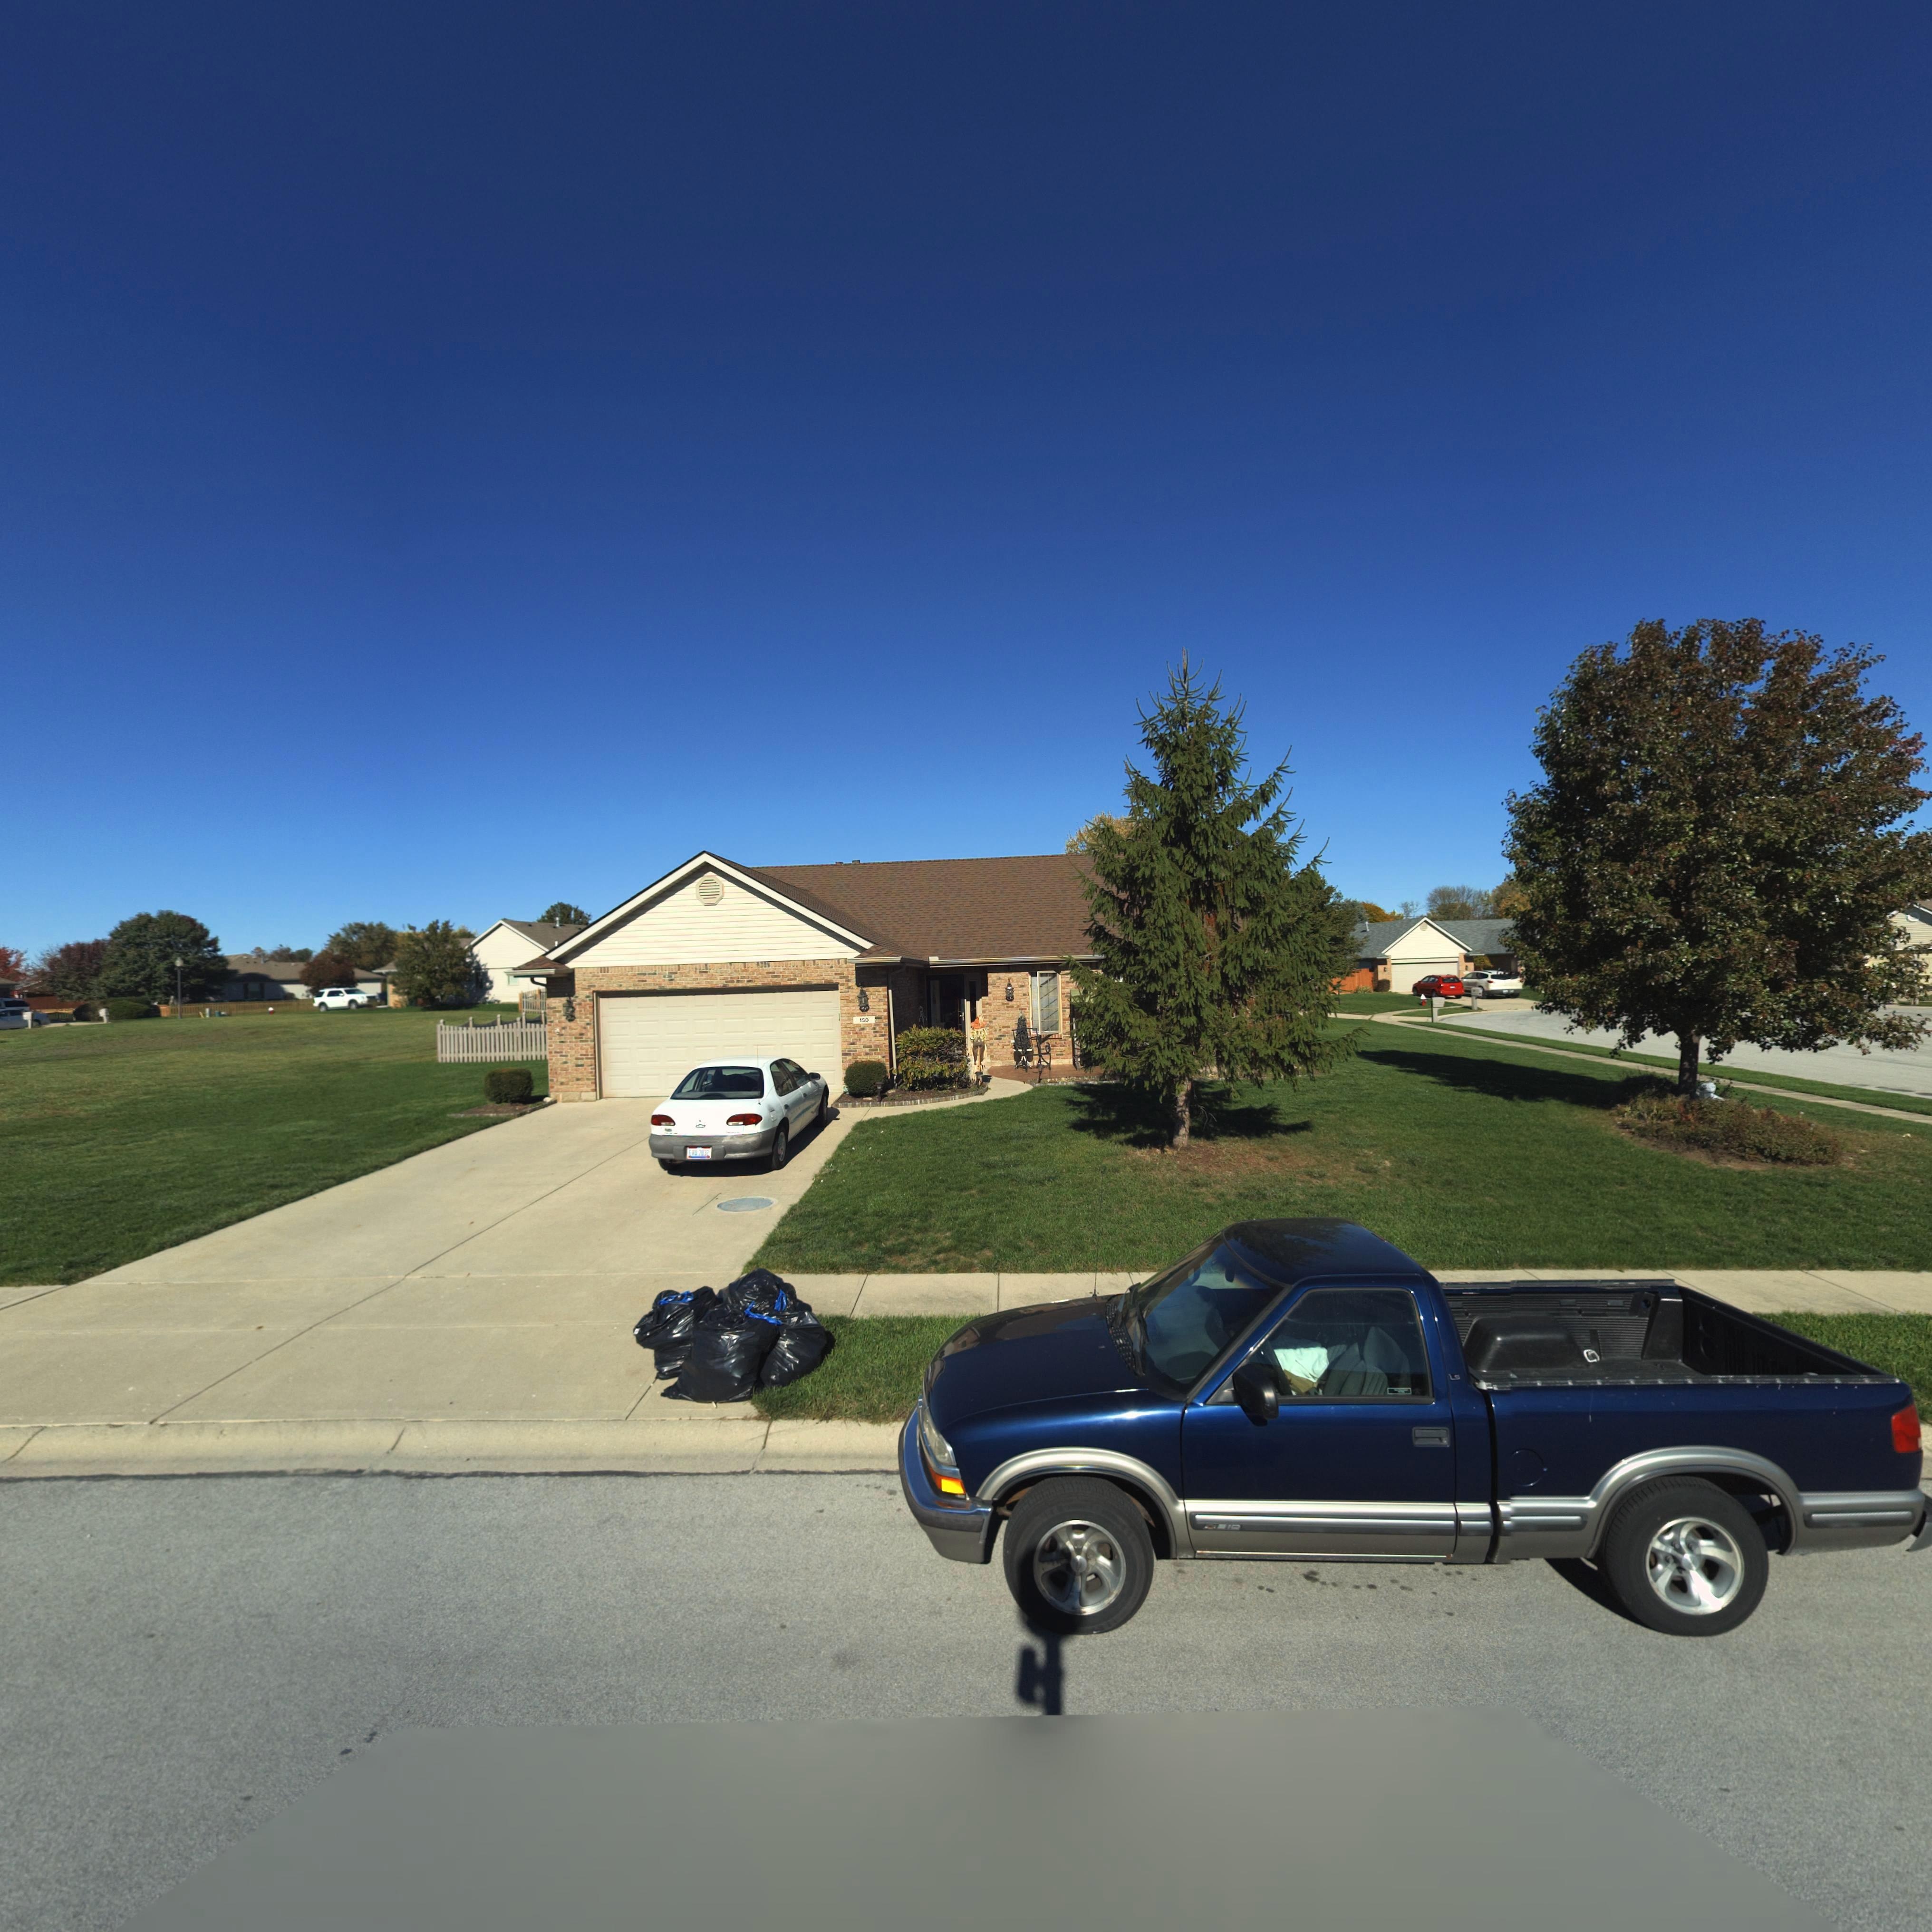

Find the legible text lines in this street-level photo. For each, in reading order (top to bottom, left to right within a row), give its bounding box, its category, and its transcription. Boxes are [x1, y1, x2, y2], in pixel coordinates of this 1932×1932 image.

[860, 1017, 869, 1023] StreetNumber: 150